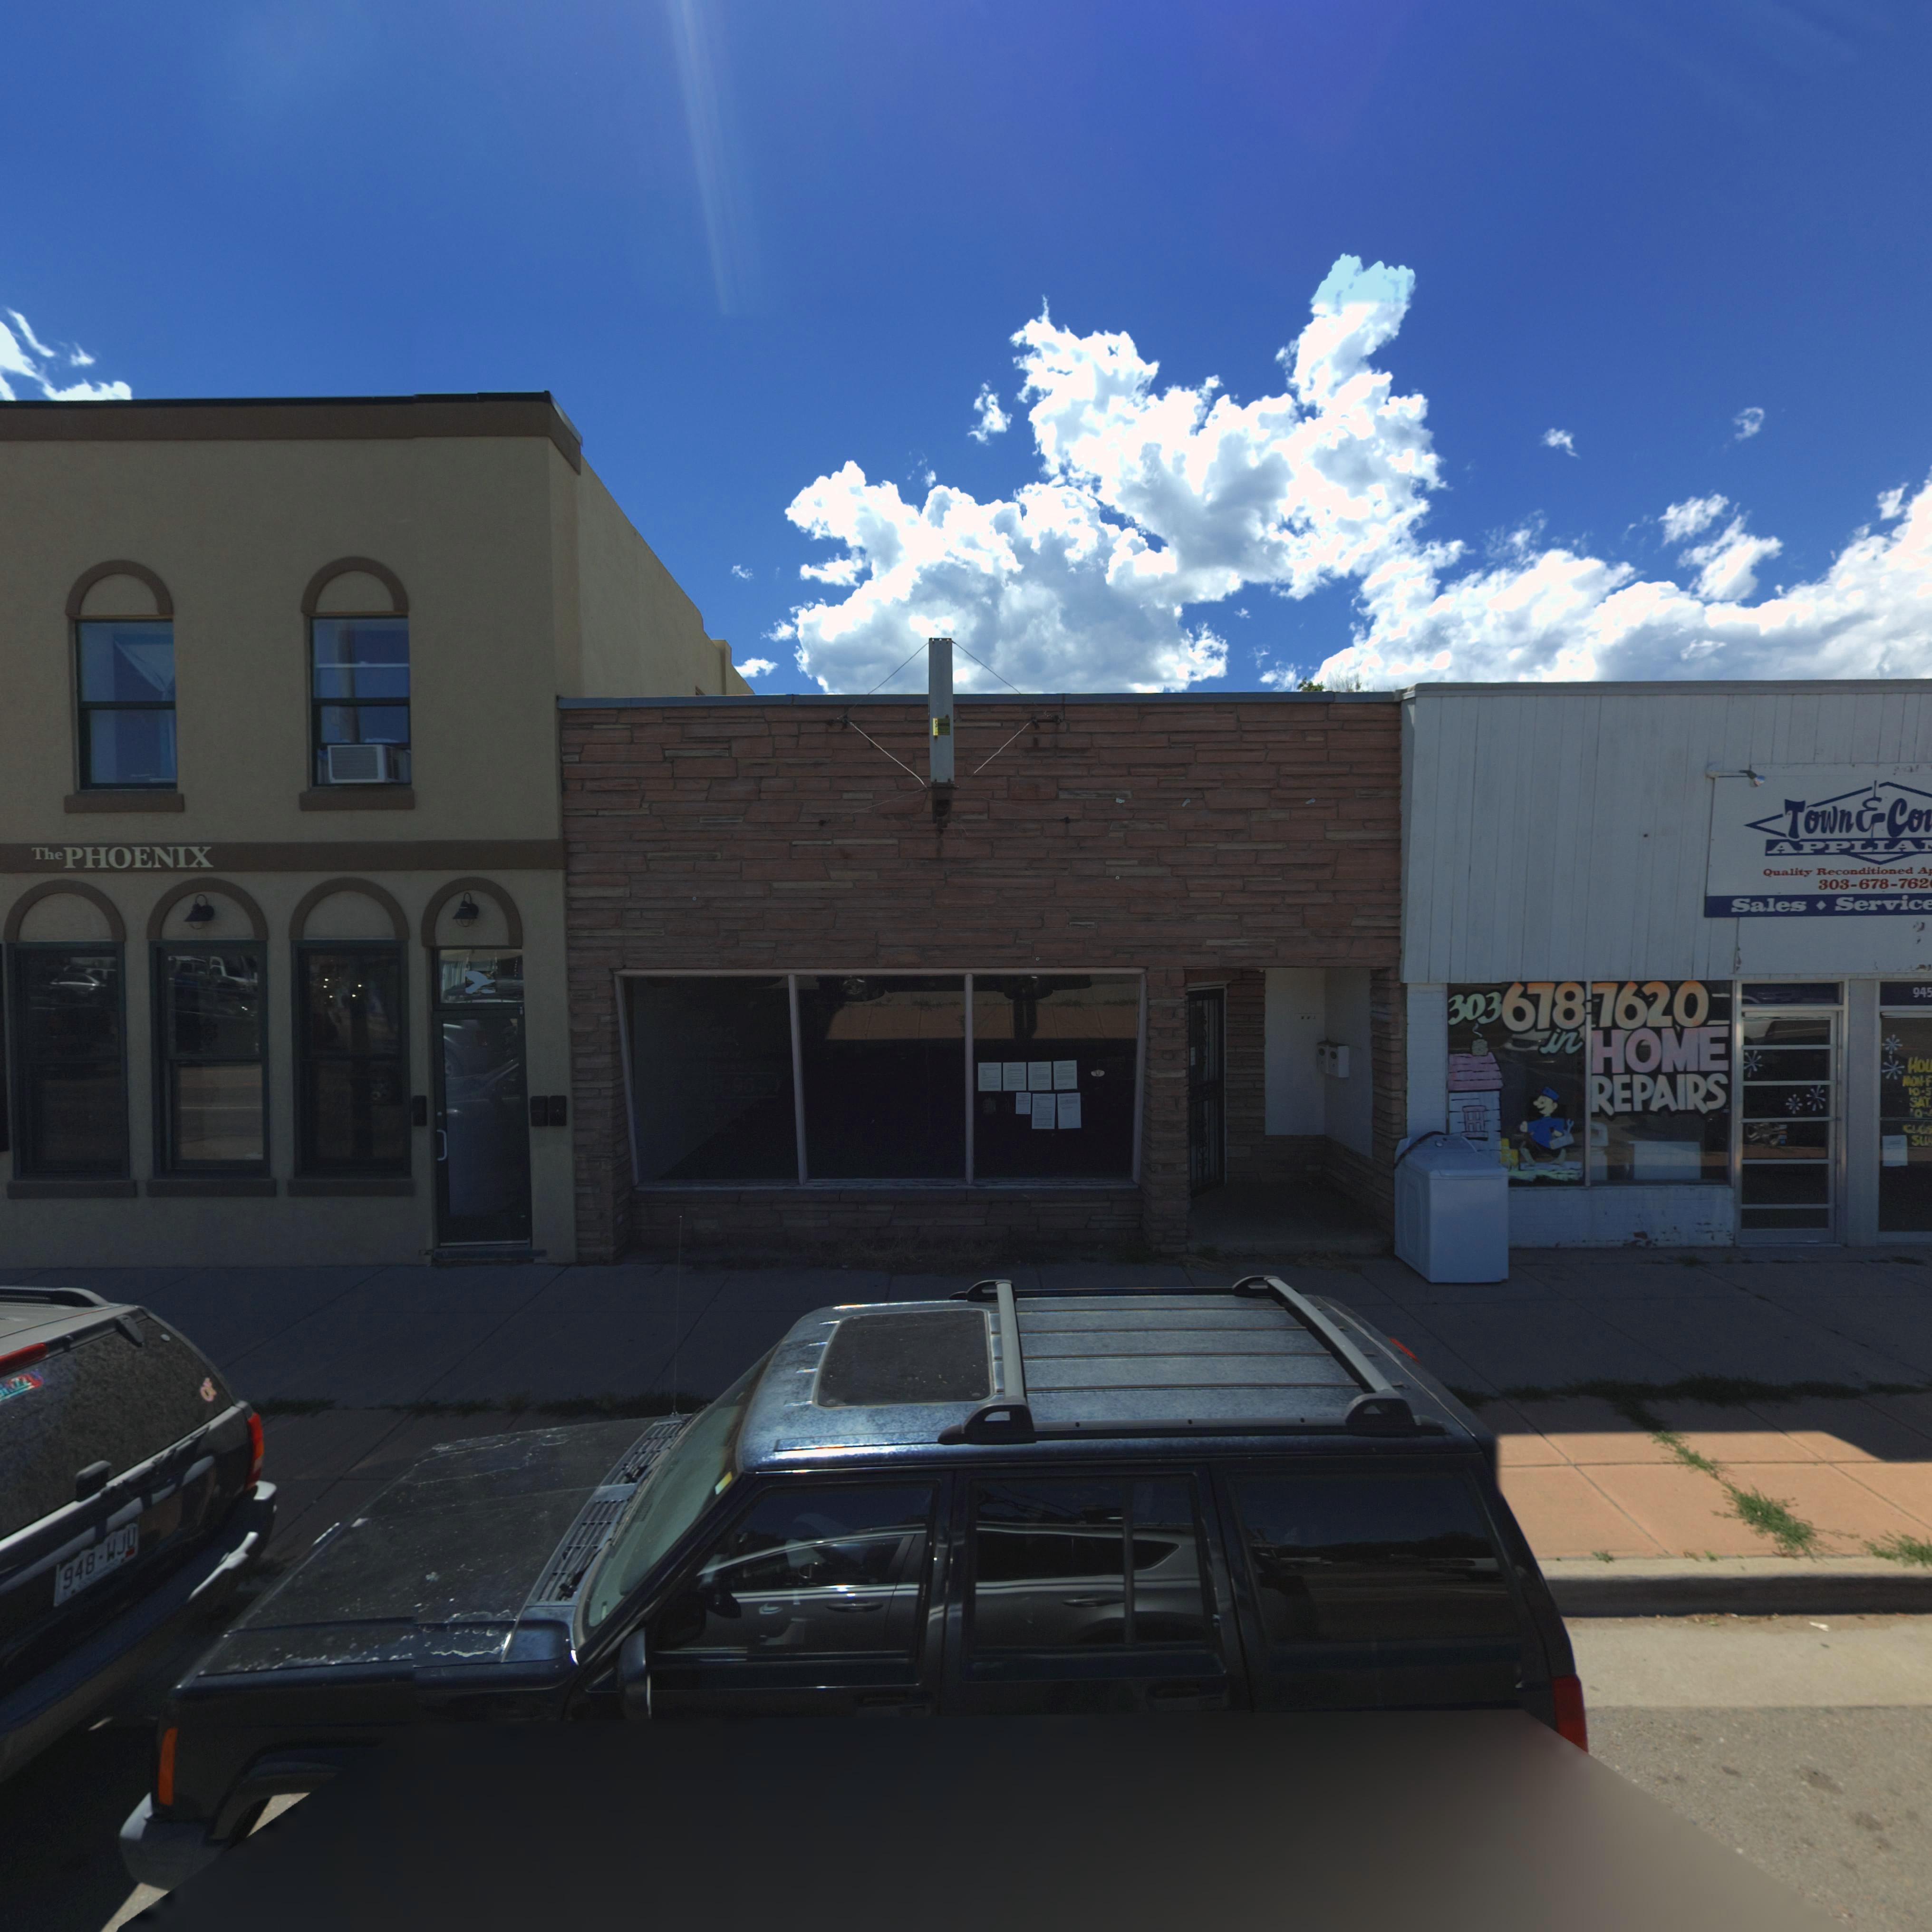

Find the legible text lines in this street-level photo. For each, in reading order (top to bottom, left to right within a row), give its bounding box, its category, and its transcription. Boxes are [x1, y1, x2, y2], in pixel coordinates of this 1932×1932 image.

[1784, 779, 1923, 839] BusinessName: Town * Co
[30, 846, 214, 869] BusinessName: ThePHOENIX
[1766, 840, 1920, 854] BusinessName: APPLIA
[1912, 986, 1931, 998] StreetNumber: 94*